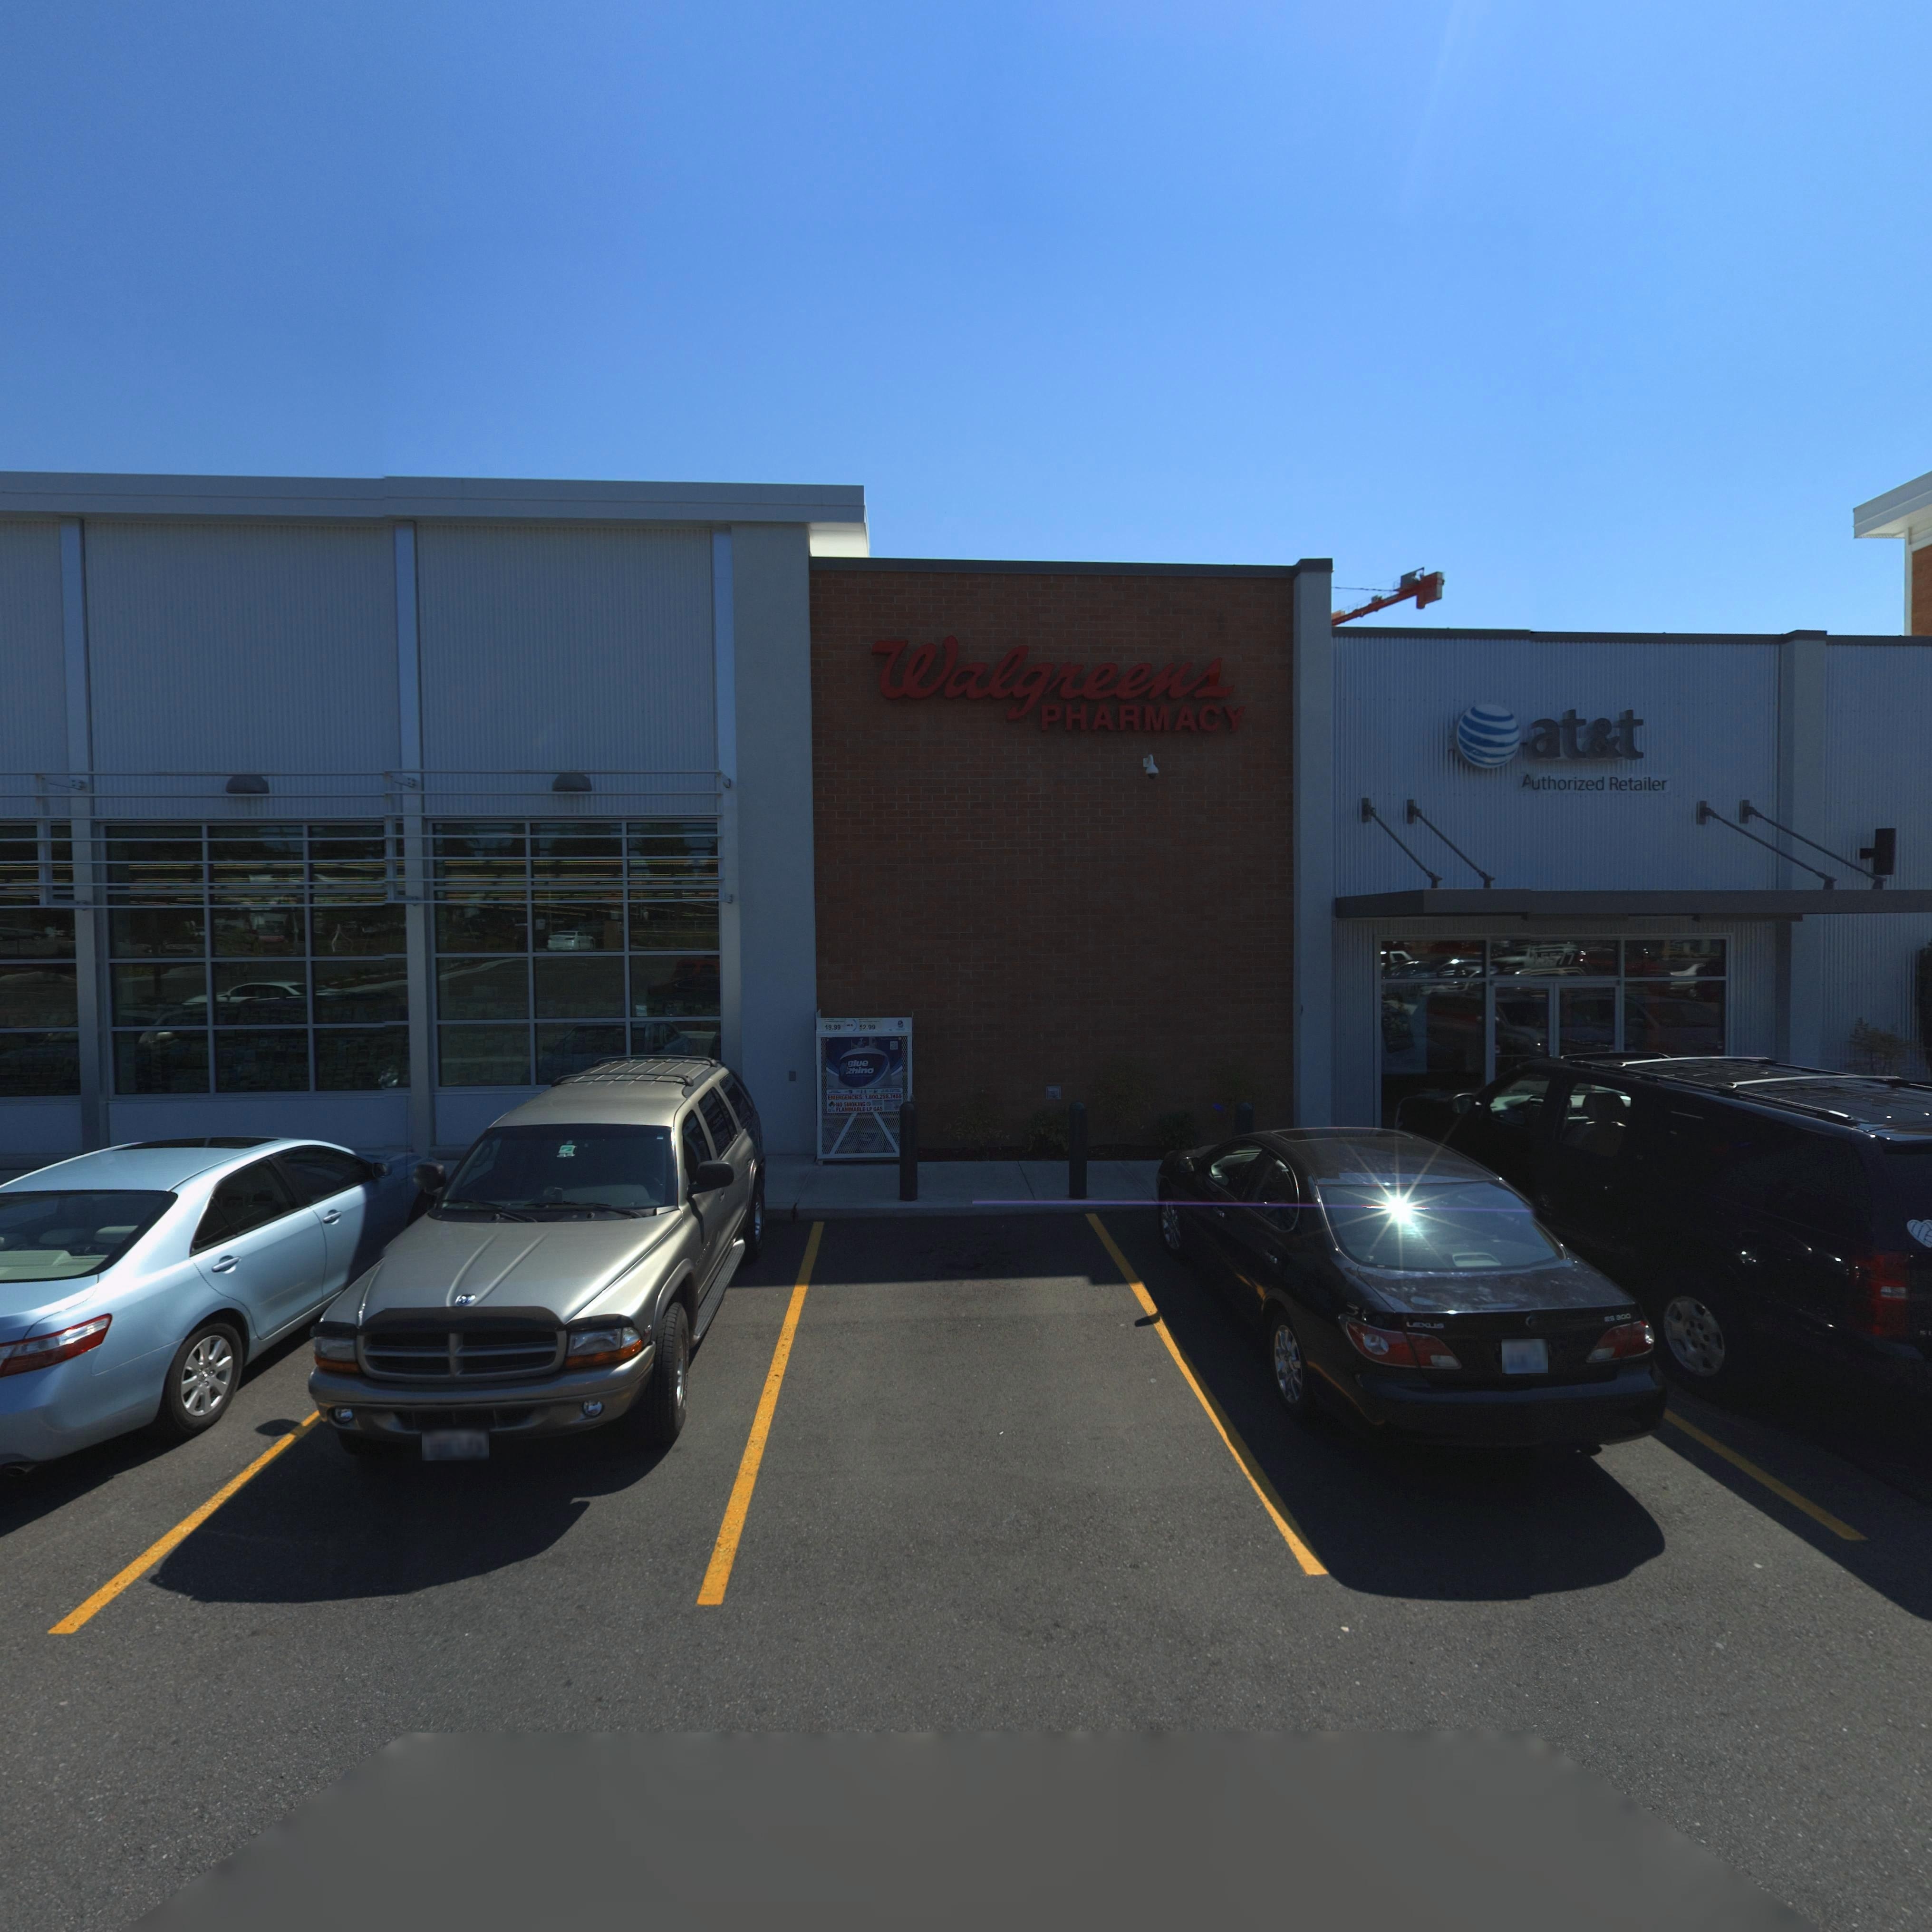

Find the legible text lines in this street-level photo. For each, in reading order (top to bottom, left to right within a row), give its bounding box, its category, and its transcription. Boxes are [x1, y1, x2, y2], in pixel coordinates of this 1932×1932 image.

[864, 632, 1243, 723] BusinessName: Walgreens
[1524, 704, 1651, 763] BusinessName: at*t